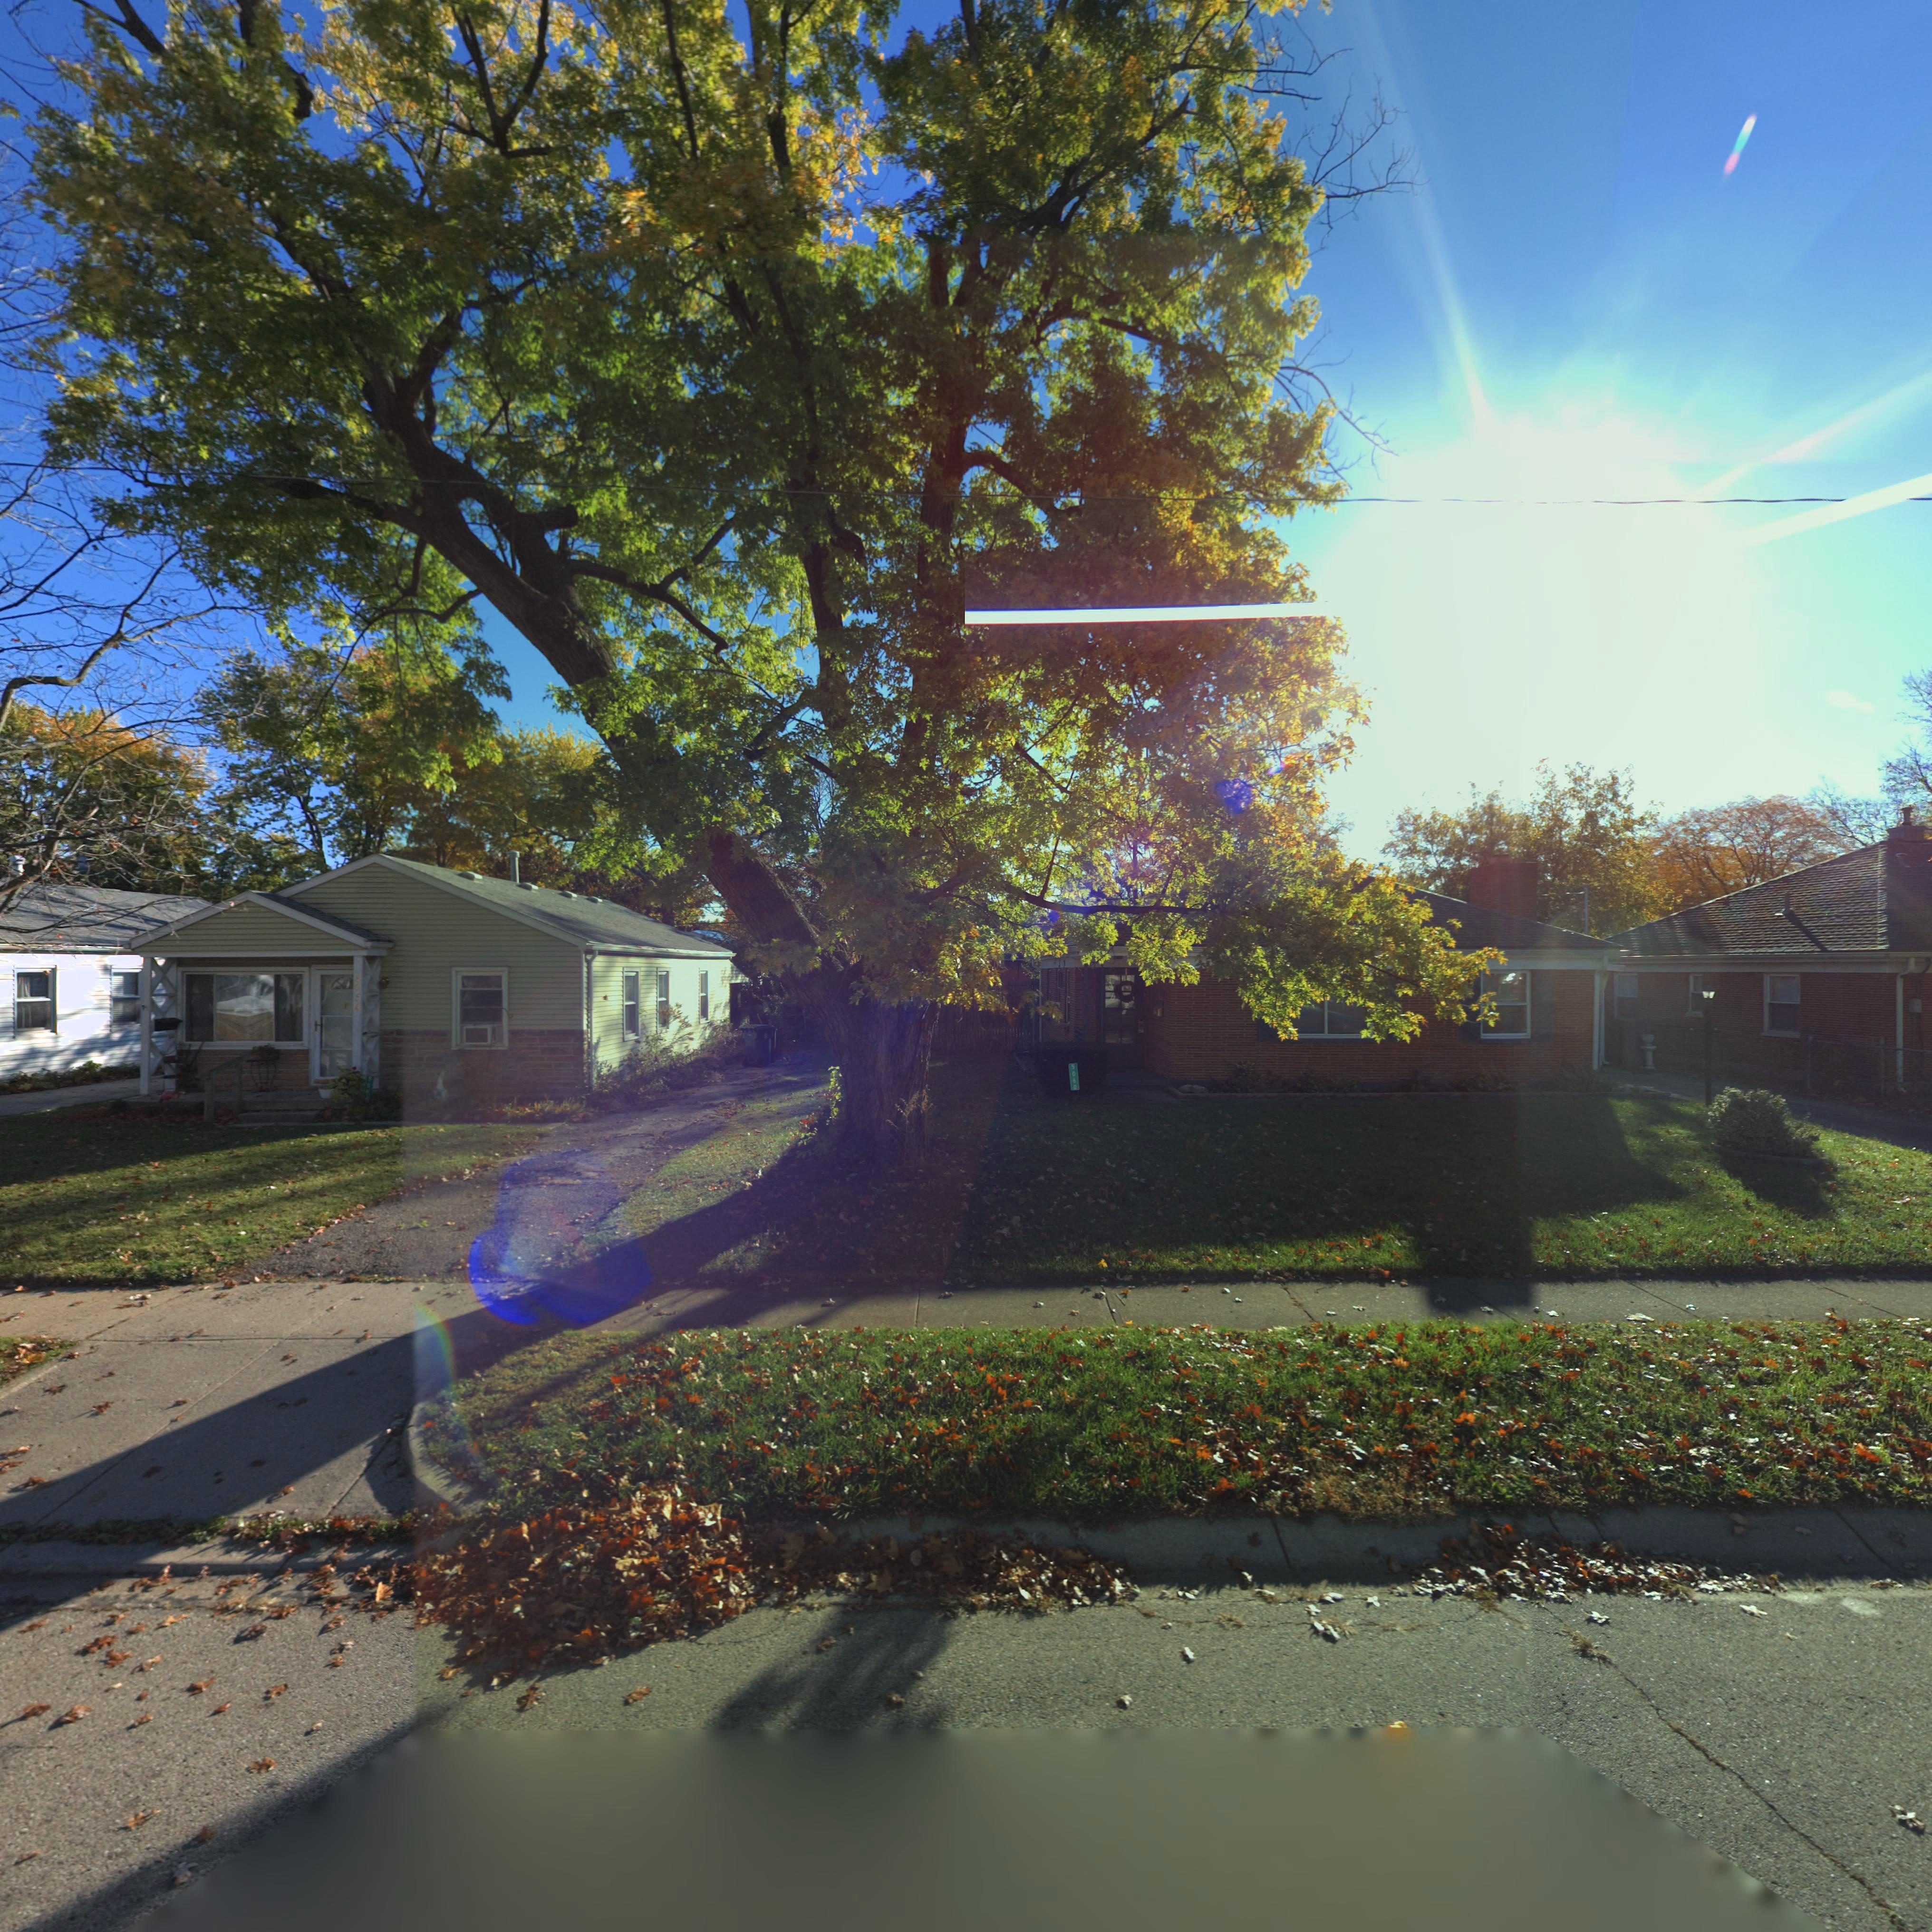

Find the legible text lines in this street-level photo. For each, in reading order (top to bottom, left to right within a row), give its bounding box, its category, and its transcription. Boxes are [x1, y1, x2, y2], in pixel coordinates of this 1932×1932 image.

[354, 974, 362, 1012] StreetNumber: *056
[366, 1075, 373, 1090] StreetNumber: 50
[1071, 1063, 1077, 1091] StreetNumber: 5060